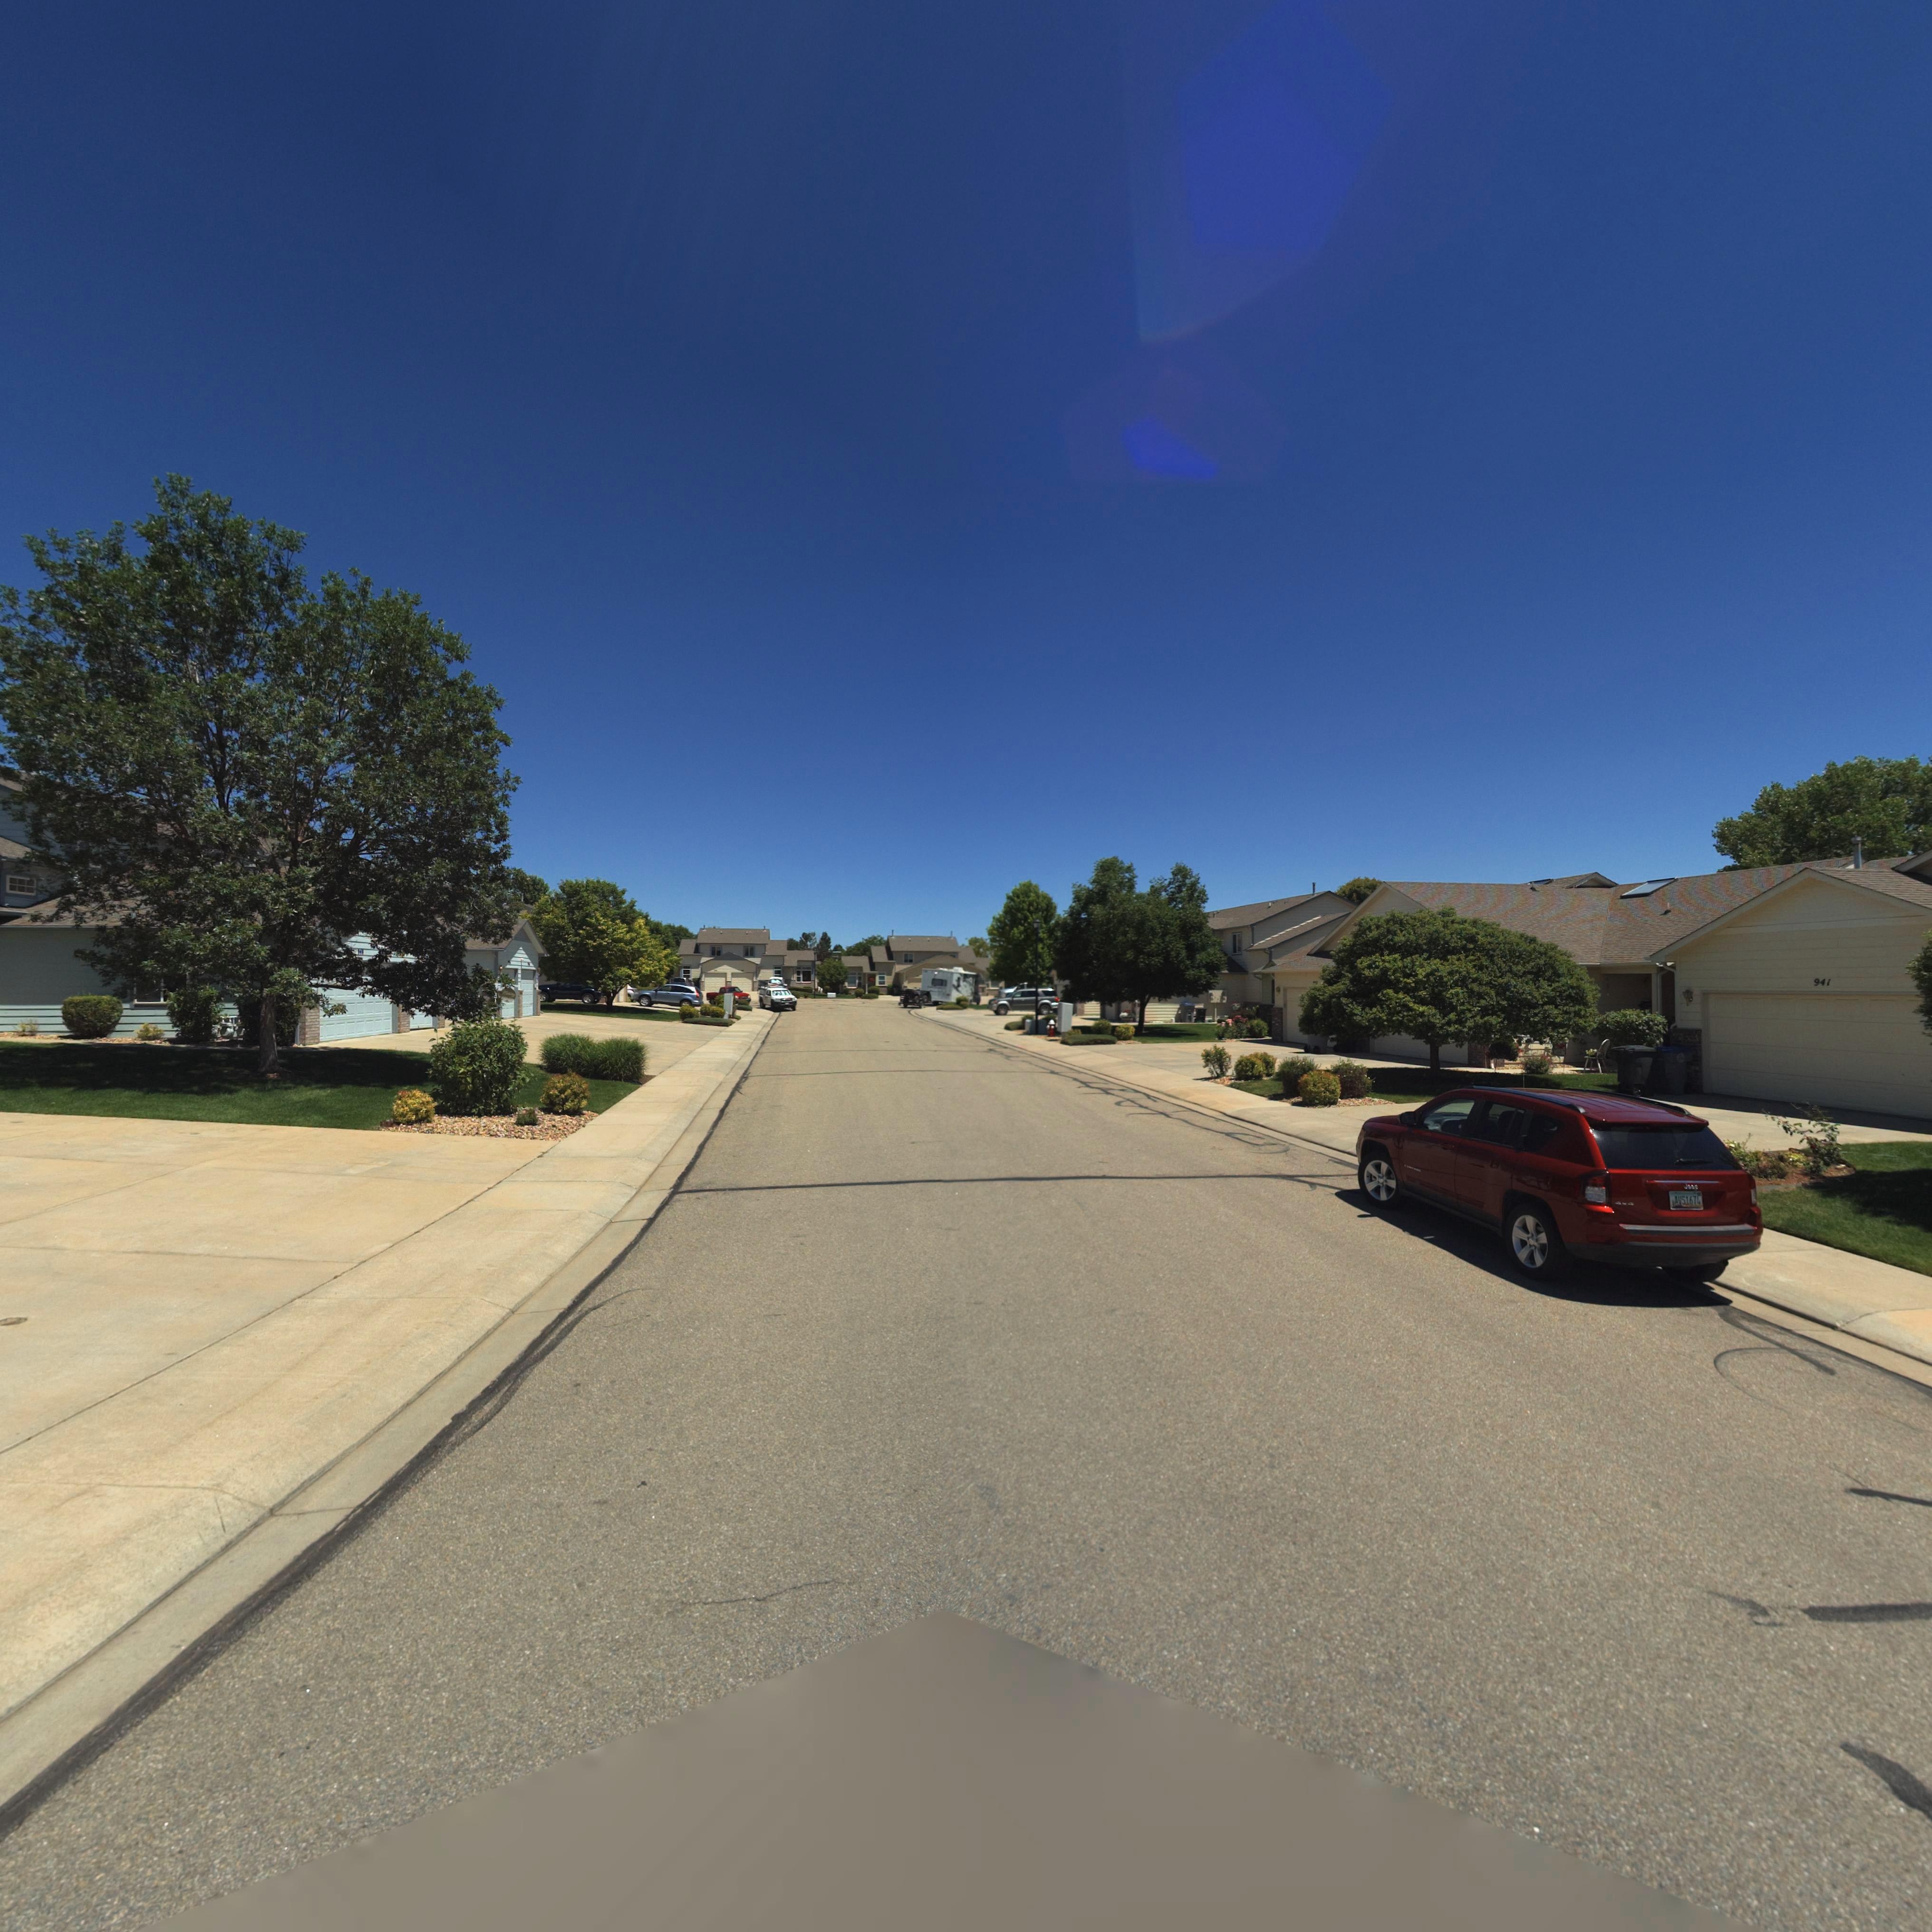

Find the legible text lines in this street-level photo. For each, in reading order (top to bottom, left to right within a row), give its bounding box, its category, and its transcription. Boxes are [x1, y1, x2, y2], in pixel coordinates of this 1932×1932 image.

[1813, 977, 1831, 987] StreetNumber: 941